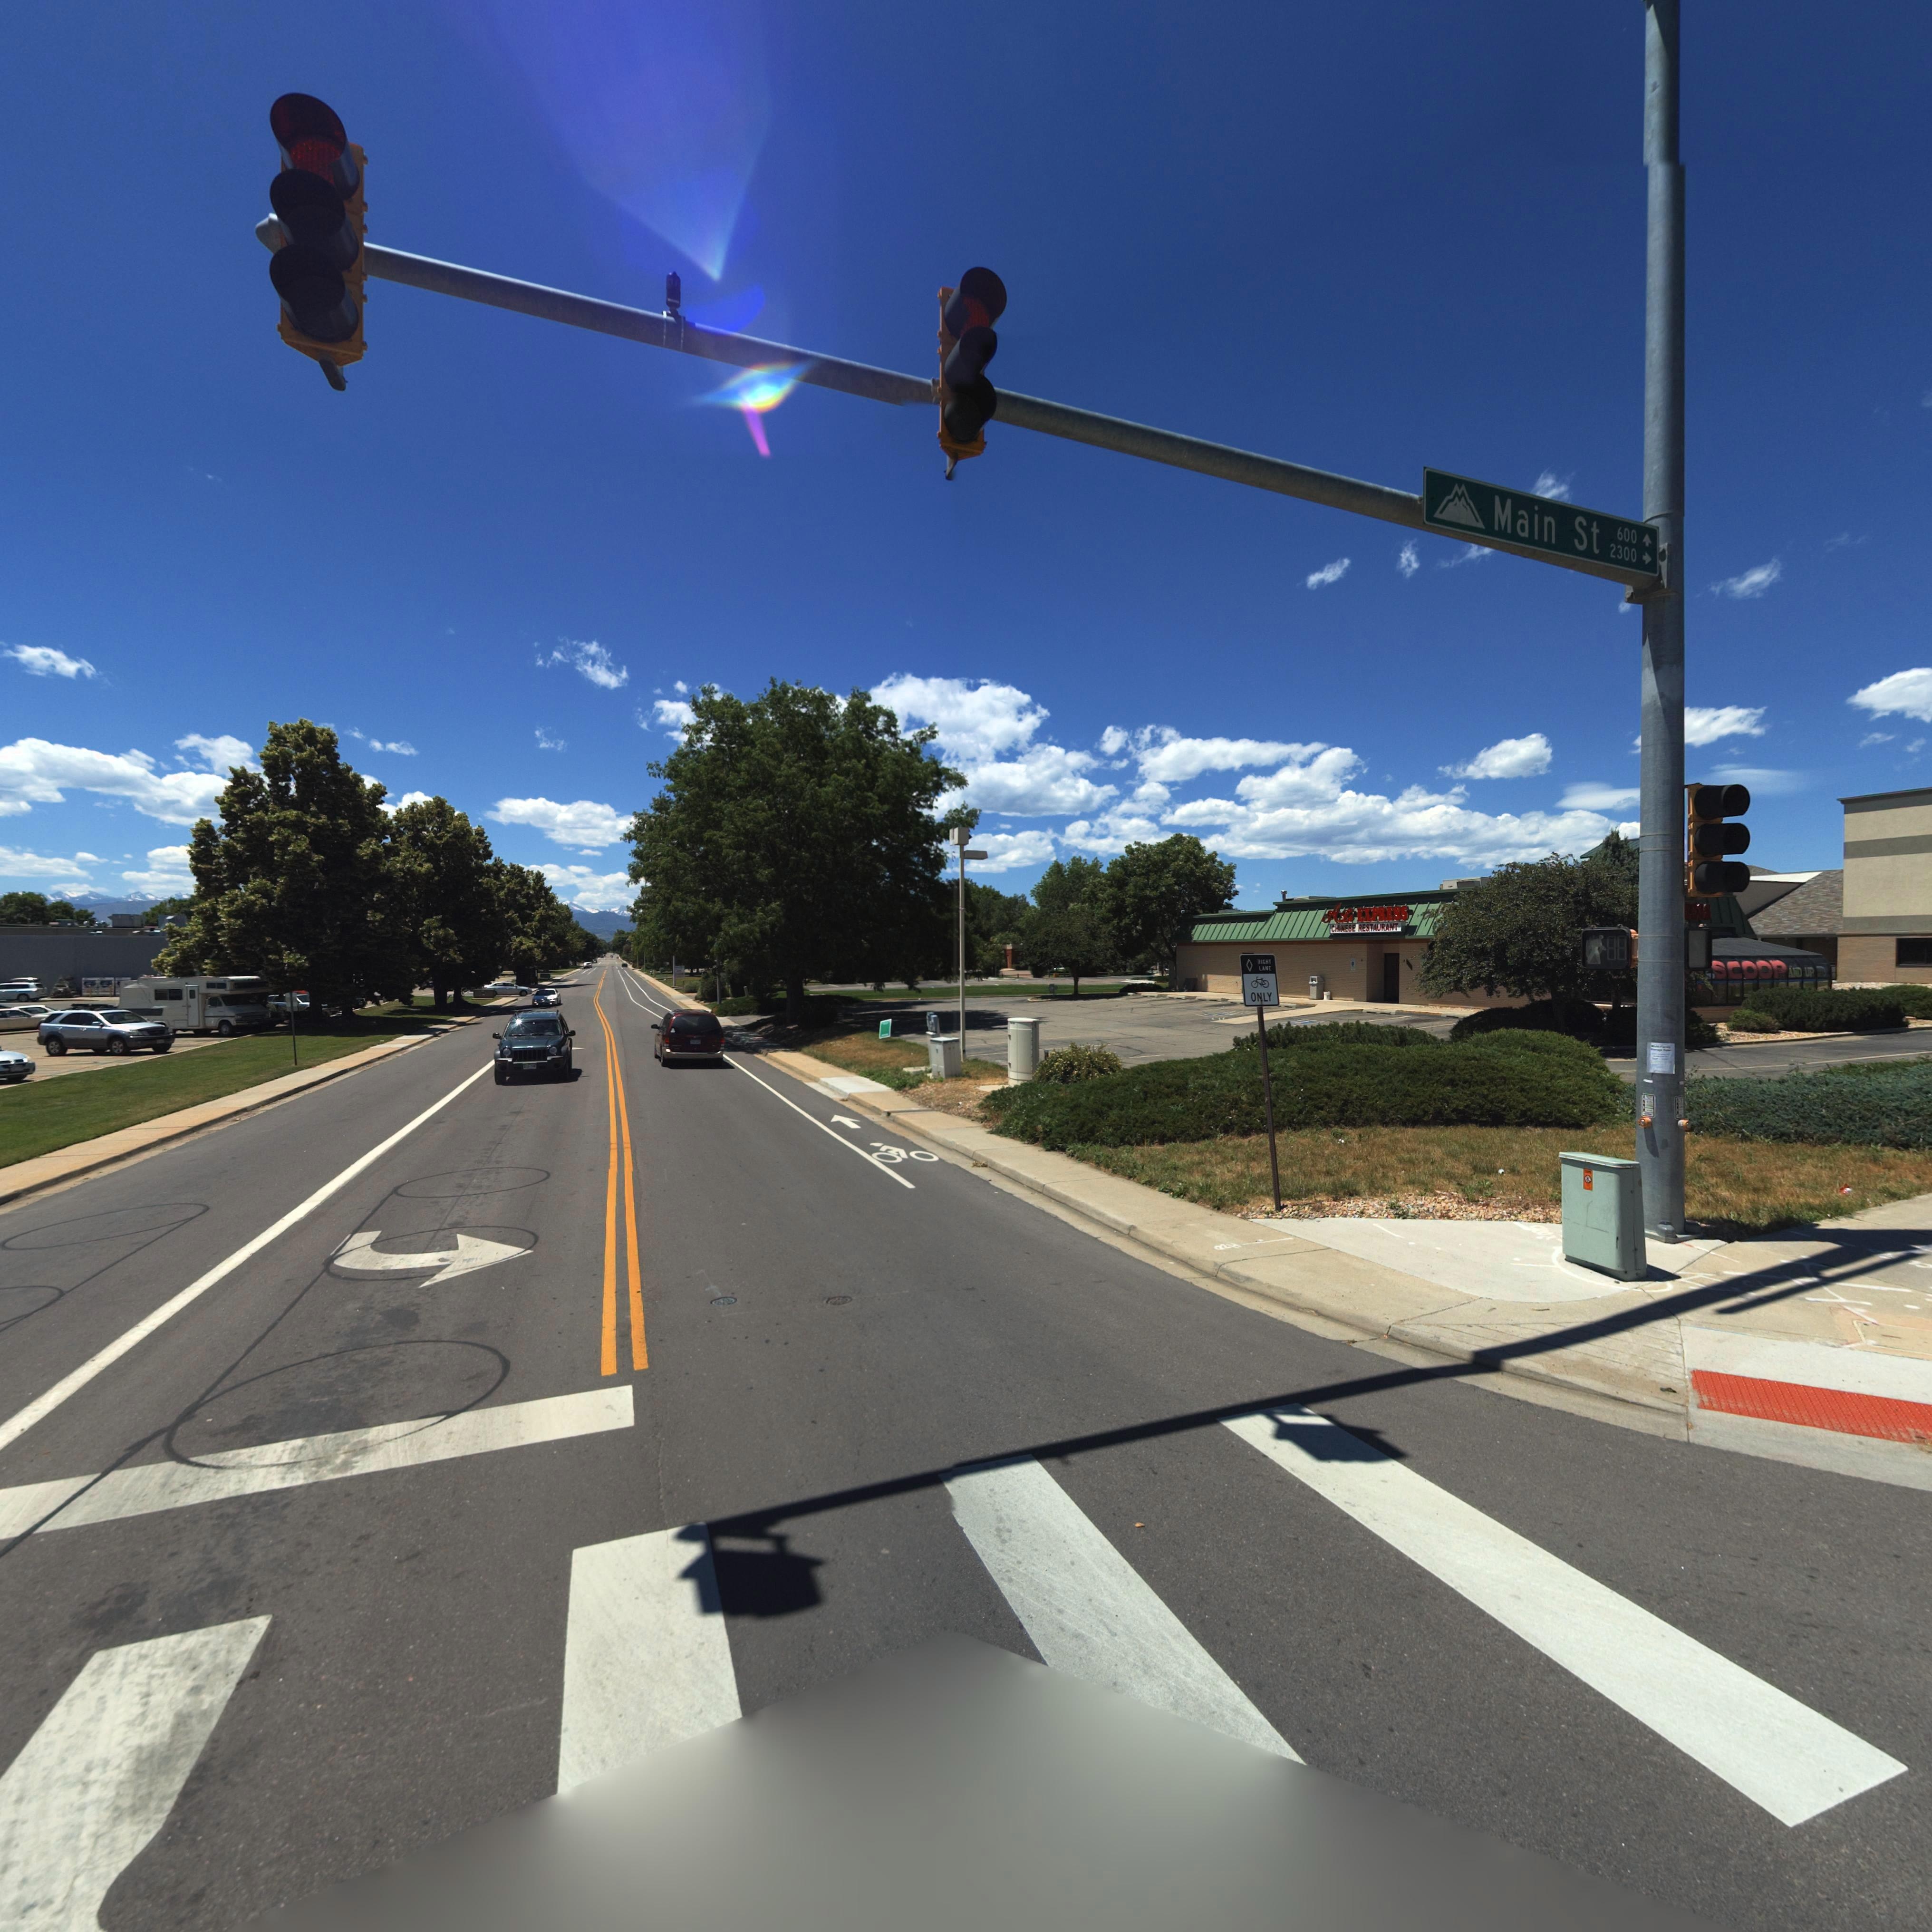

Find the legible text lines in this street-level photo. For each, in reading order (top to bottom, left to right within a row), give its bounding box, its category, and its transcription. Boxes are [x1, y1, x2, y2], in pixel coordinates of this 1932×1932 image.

[1493, 493, 1601, 555] StreetName: Main St
[1616, 526, 1638, 544] StreetNumberRange: 600
[1609, 542, 1653, 566] StreetNumberRange: 2300->
[1321, 901, 1408, 924] BusinessName: Ali EXPRESS